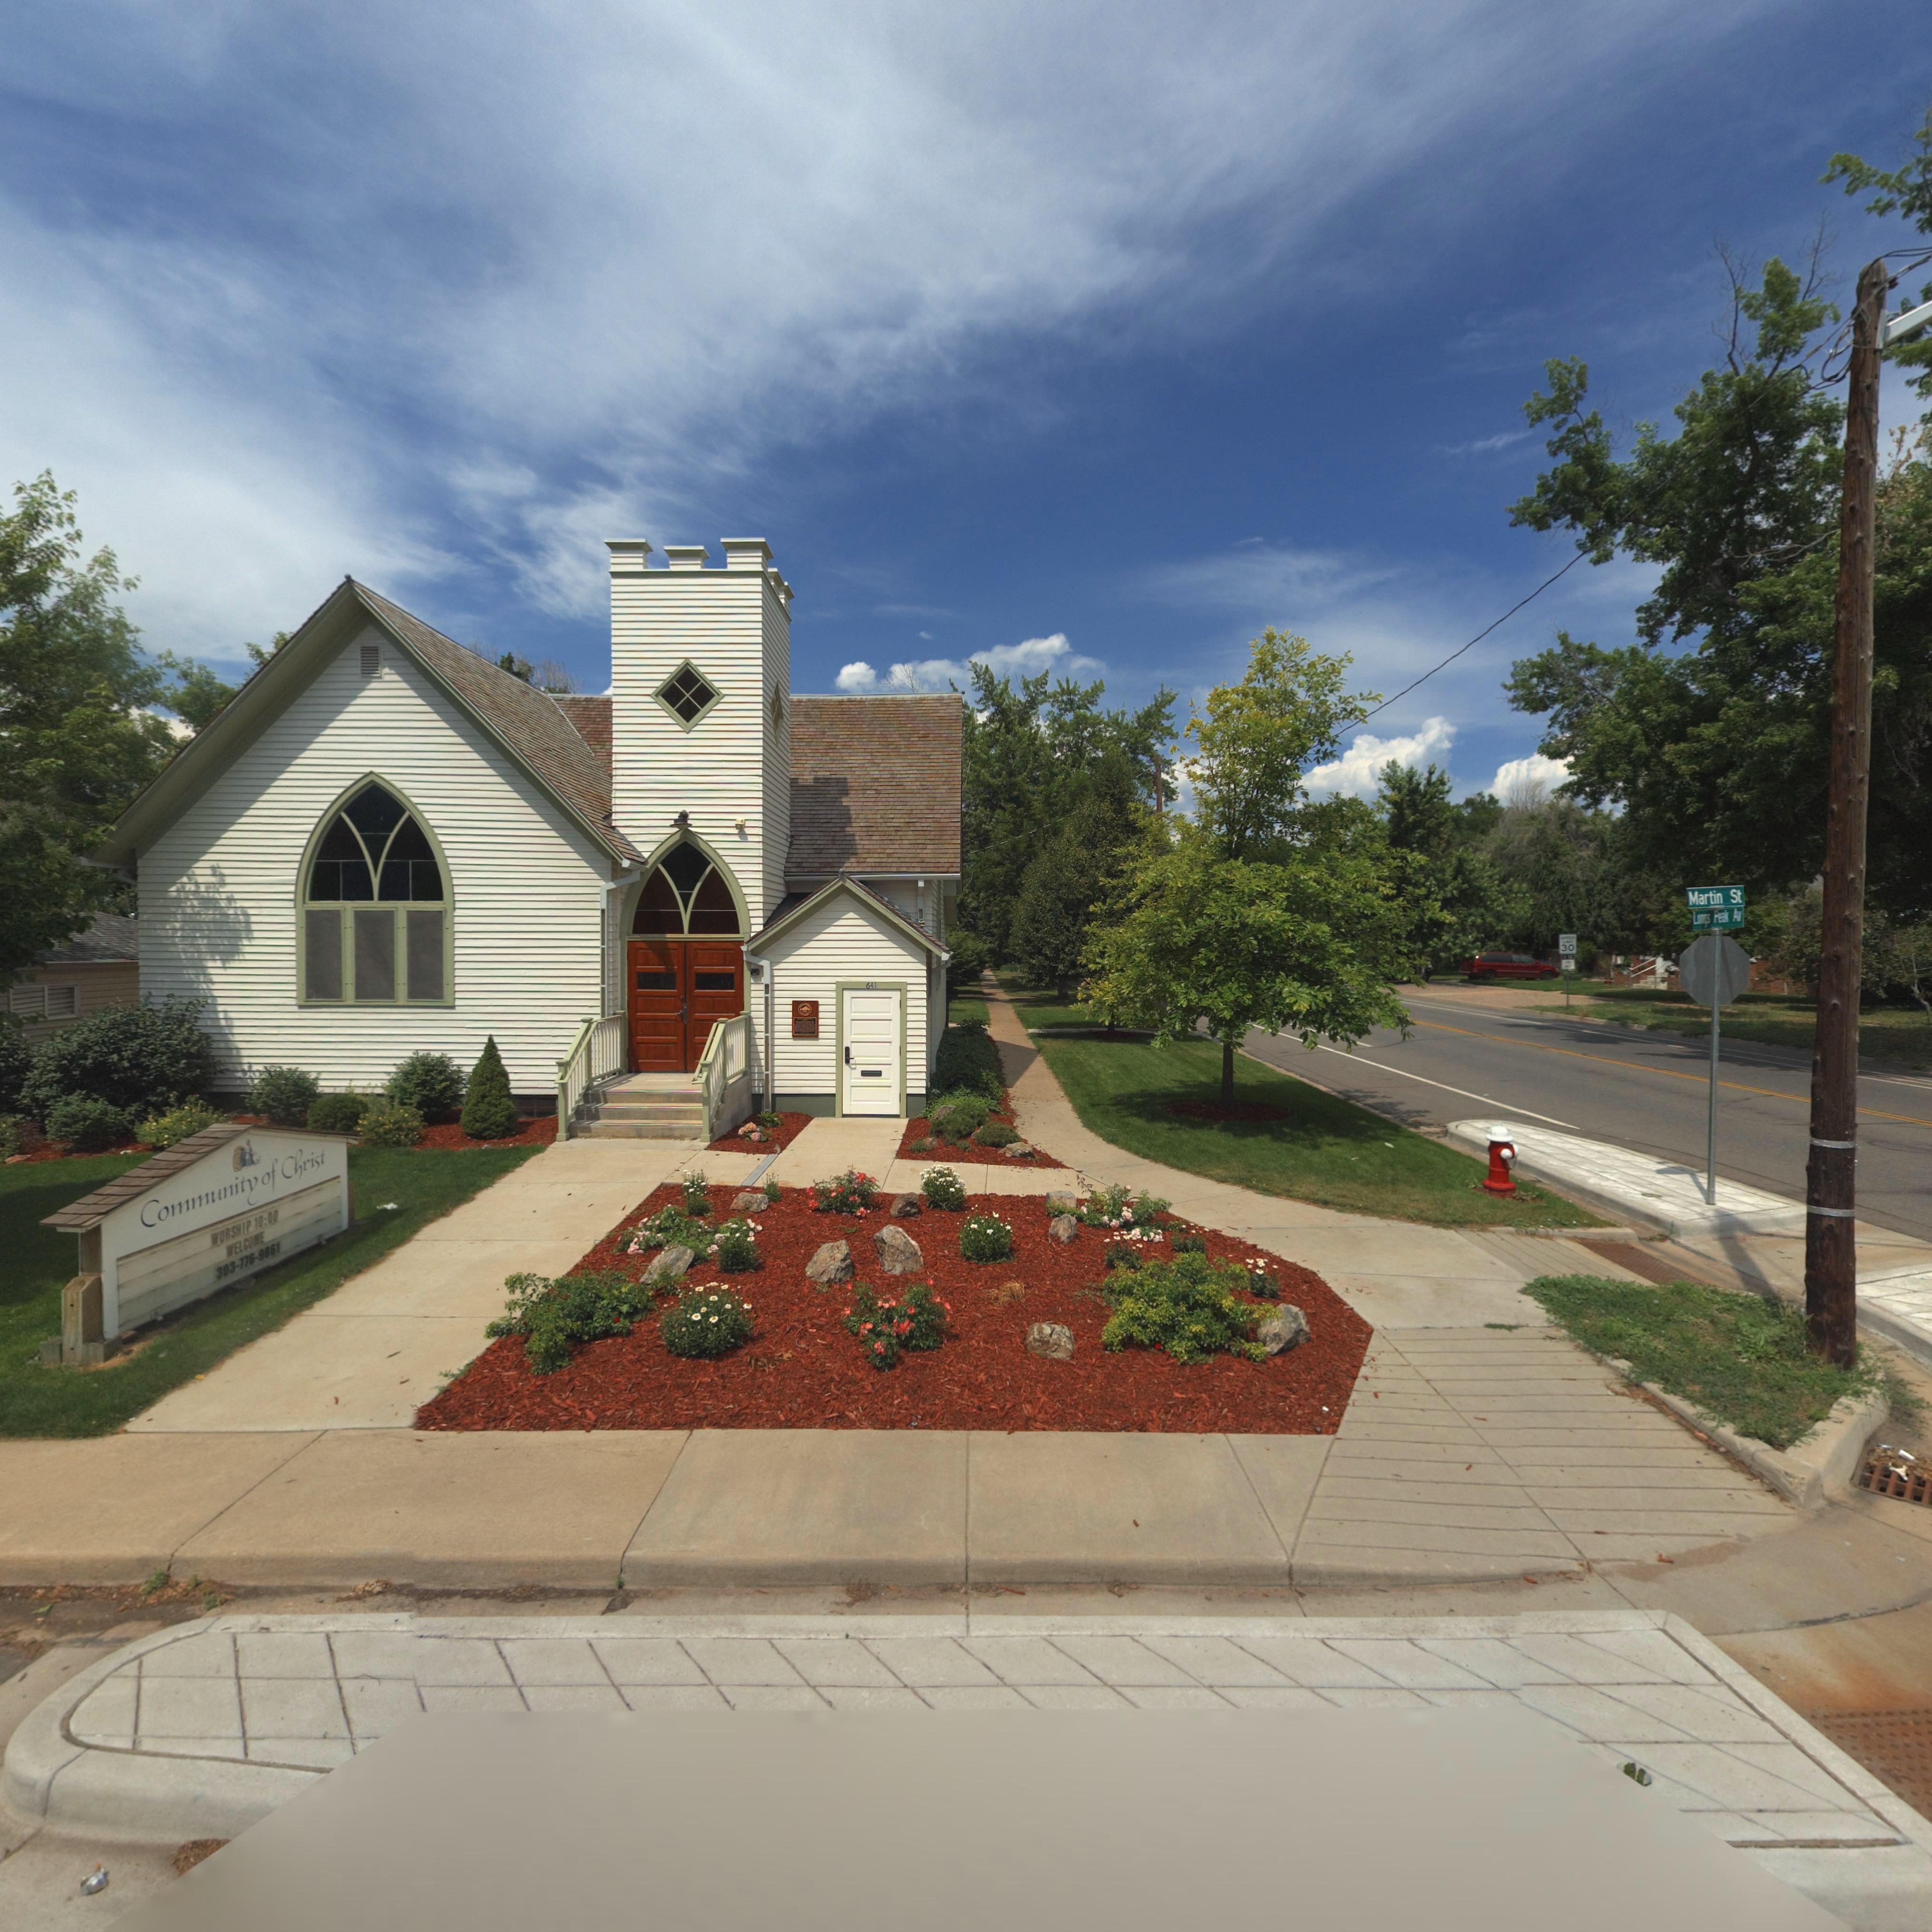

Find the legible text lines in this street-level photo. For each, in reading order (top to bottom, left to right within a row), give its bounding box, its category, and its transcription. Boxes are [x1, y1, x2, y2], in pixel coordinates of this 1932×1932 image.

[1688, 889, 1742, 906] StreetName: Martin St
[1693, 908, 1741, 928] StreetName: Lomgs Peak Av
[866, 981, 876, 989] StreetNumber: 641
[138, 1148, 326, 1228] BusinessName: Community of Christ